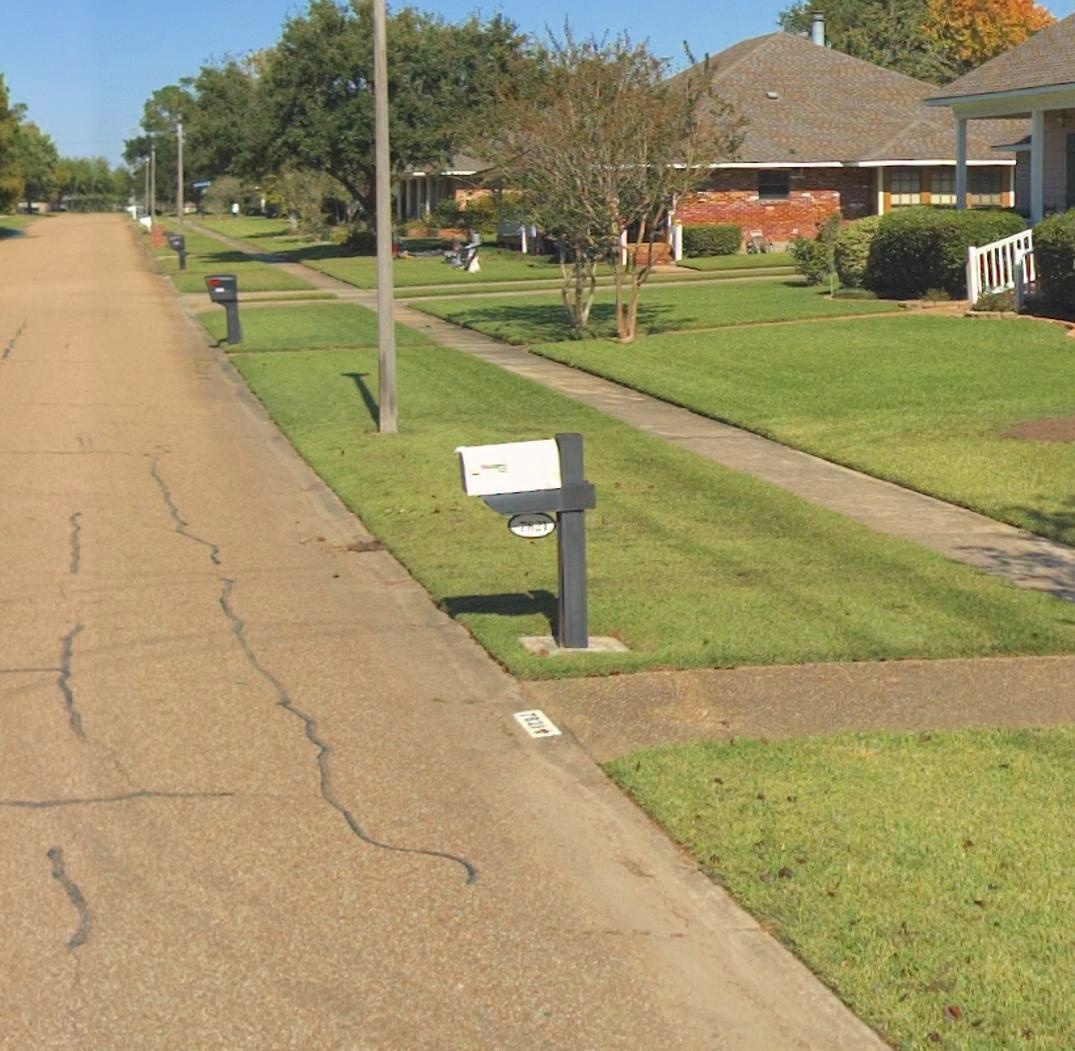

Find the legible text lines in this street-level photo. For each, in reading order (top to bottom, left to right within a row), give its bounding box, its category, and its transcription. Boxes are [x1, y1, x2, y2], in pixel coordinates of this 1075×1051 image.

[519, 520, 548, 533] StreetNumber: 7821